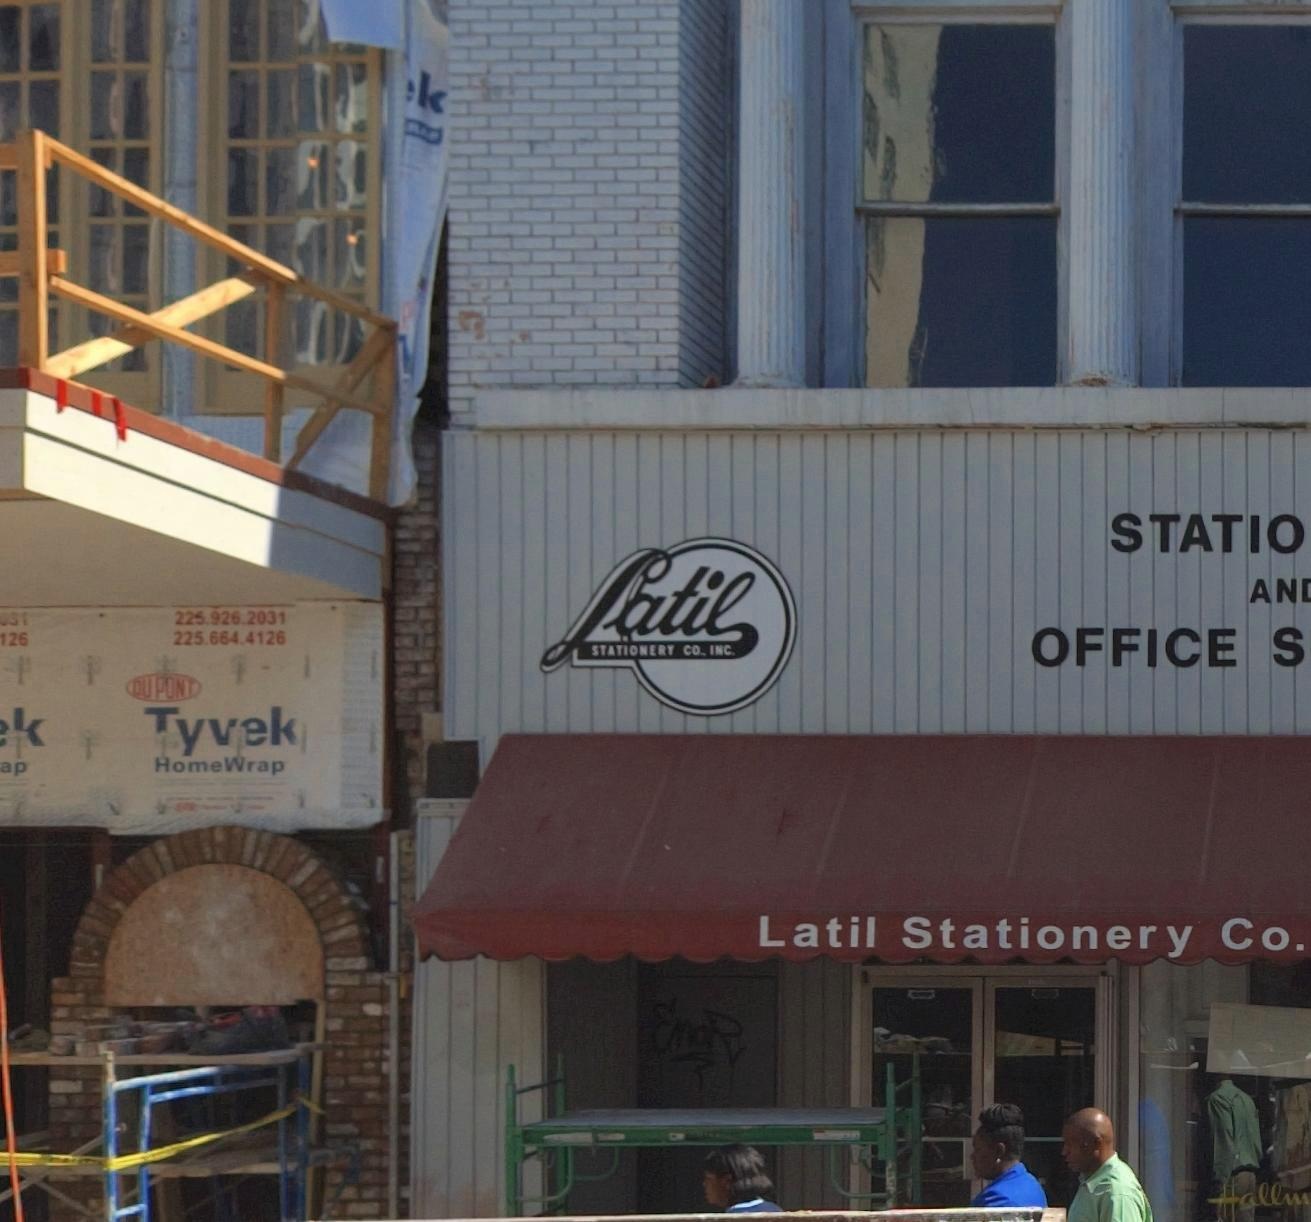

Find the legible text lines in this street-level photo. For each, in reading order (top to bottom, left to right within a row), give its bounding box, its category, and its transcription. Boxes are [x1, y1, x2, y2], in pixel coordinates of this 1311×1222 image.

[414, 64, 451, 120] None: k
[1106, 509, 1310, 558] None: STAITIO
[1246, 574, 1300, 606] None: AN
[172, 607, 289, 628] None: 225.926.2031
[532, 546, 769, 671] BusinessName: Latil
[6, 628, 31, 650] None: 26
[171, 627, 289, 649] None: 225.664.4126
[589, 641, 739, 659] BusinessName: SATIONERY CO. INC.
[589, 641, 741, 660] BusinessName: STATIONERY CO. INC
[1026, 623, 1309, 671] None: OFFICE S
[130, 672, 196, 702] None: OUPON*
[139, 702, 303, 761] BusinessName: Ty**k
[12, 758, 30, 782] None: p
[152, 753, 288, 779] None: HomeWrap
[757, 911, 1308, 961] BusinessName: Latil Stationery Co.
[649, 994, 755, 1070] None: E***
[1214, 1179, 1286, 1216] None: Hall